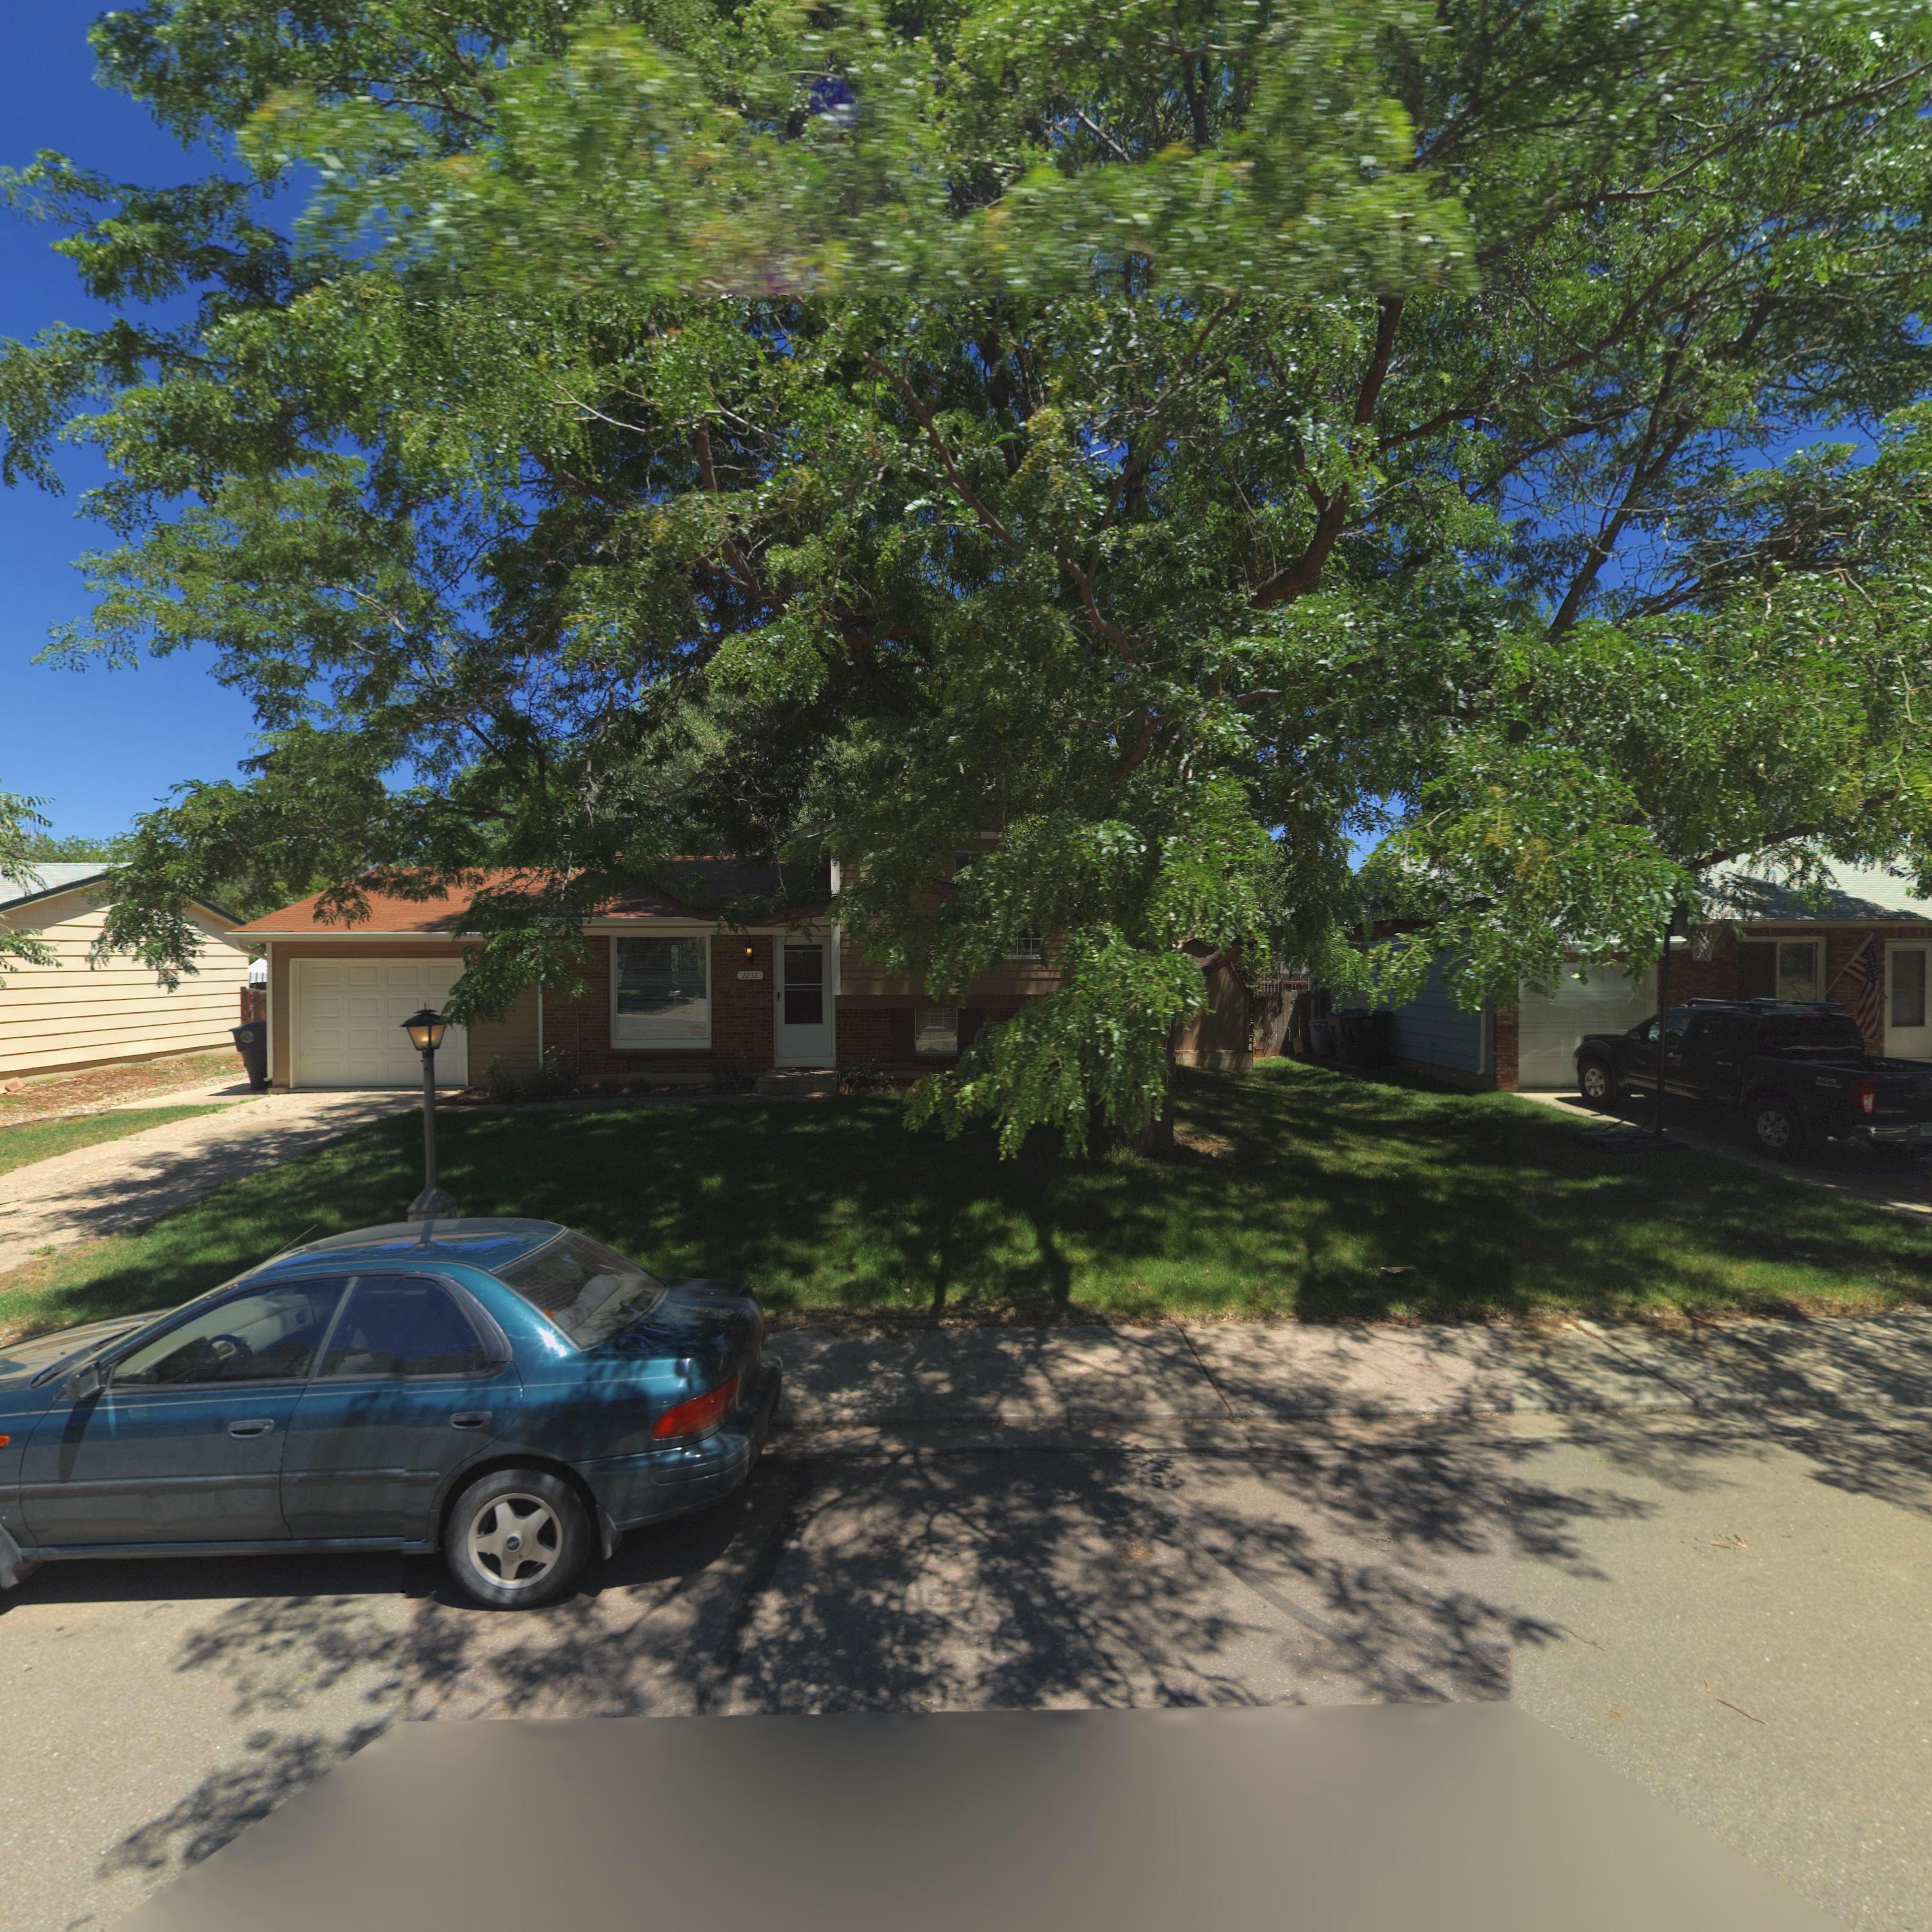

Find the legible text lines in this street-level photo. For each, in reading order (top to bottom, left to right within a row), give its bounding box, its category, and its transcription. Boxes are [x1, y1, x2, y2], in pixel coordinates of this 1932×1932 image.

[741, 972, 758, 979] StreetNumber: 2232